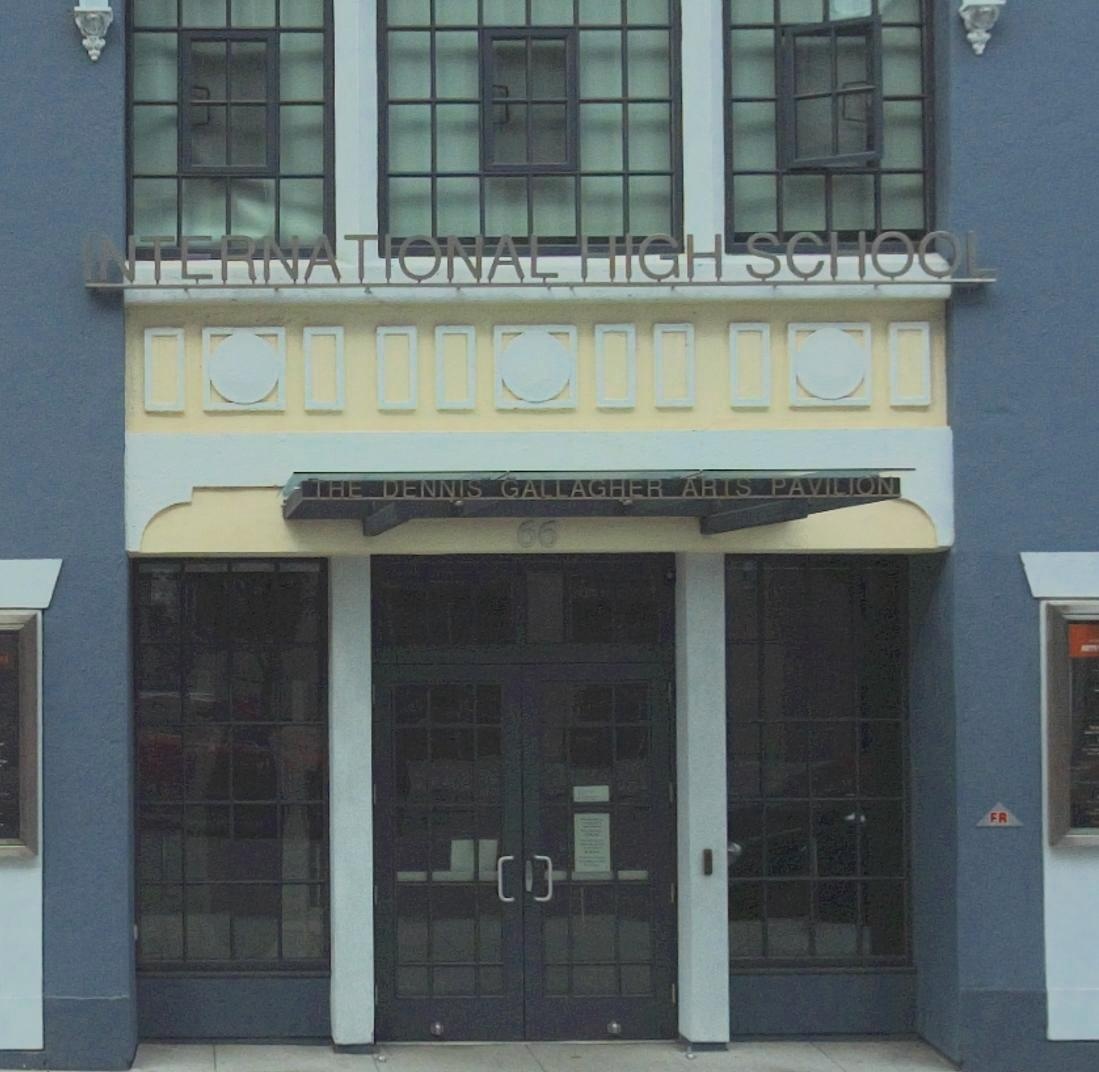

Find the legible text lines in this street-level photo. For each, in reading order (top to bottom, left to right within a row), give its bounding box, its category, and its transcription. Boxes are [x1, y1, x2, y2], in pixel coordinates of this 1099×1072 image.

[79, 228, 1000, 284] None: INTERNATIONAL HIGH SCHOOL
[310, 475, 895, 499] BusinessName: THE DENNIS GALLAGER ARTS PAVILION
[514, 520, 559, 550] StreetNumber: 66